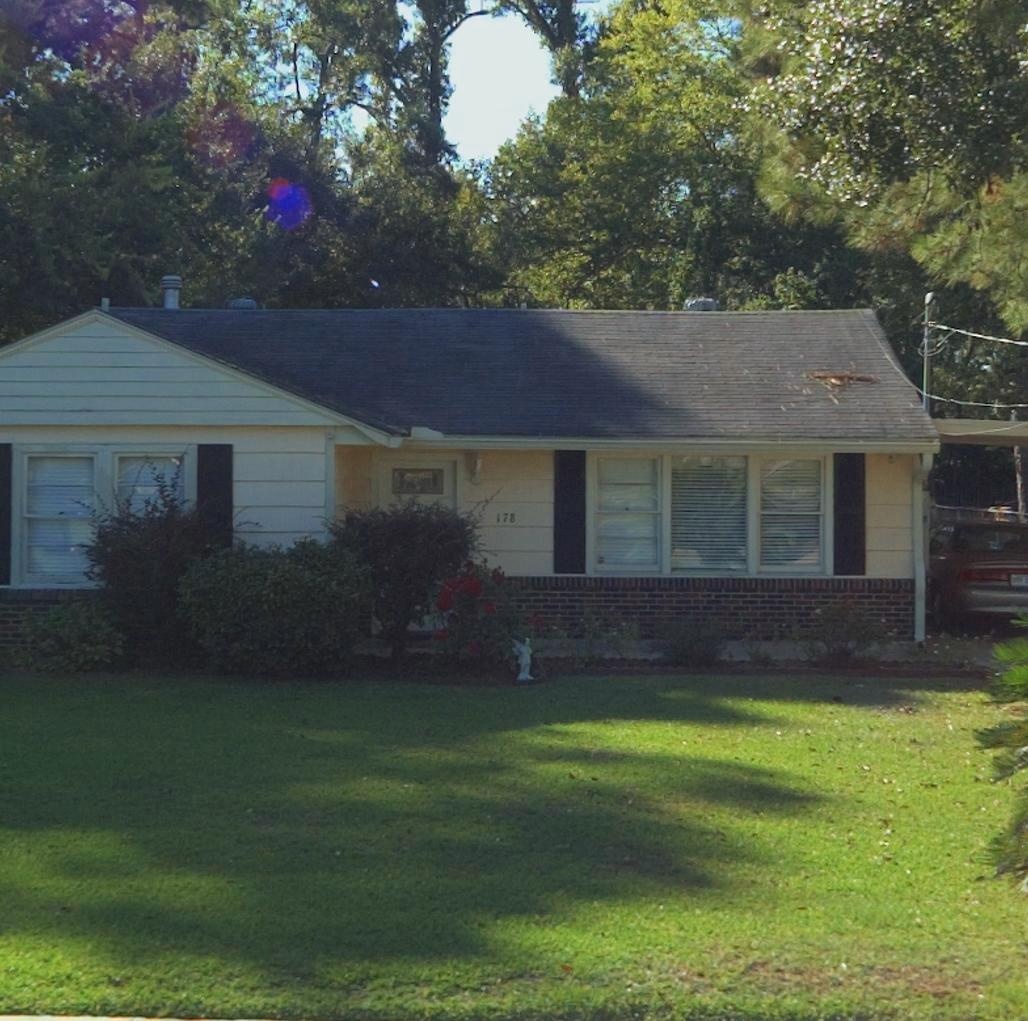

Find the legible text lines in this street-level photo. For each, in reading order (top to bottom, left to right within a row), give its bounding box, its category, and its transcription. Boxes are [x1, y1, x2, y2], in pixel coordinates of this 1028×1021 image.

[495, 511, 517, 524] StreetNumber: 178